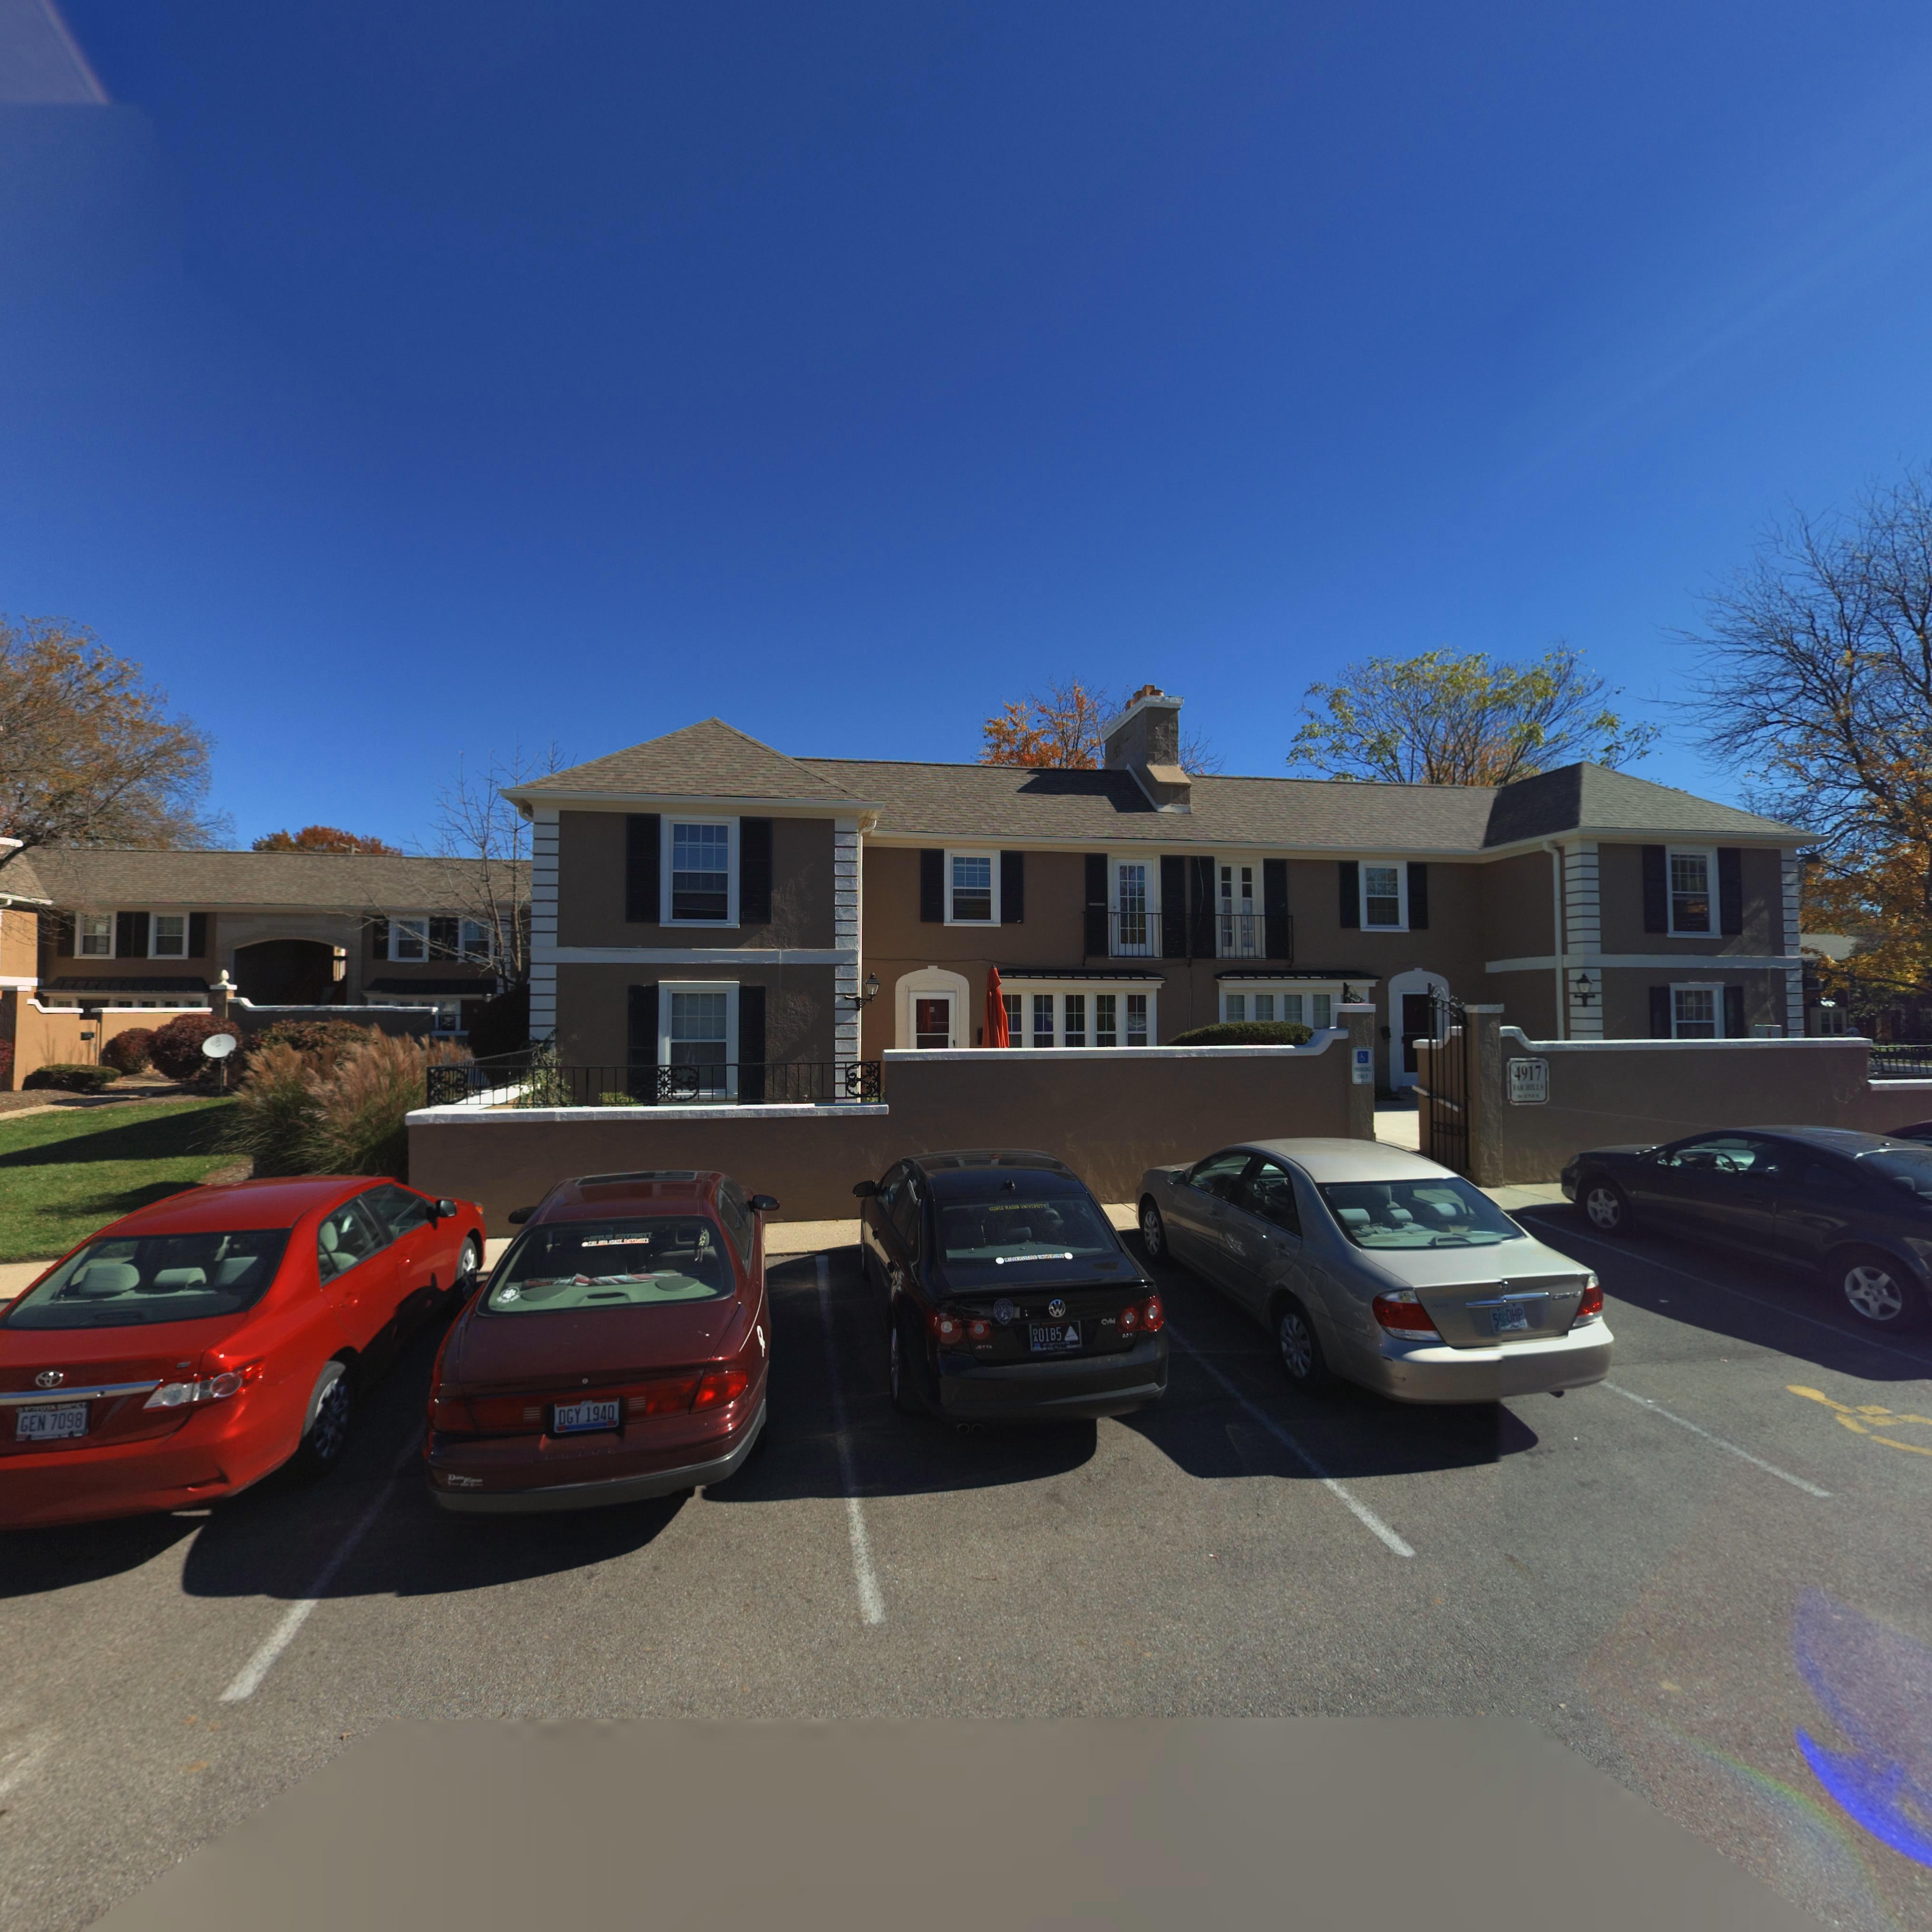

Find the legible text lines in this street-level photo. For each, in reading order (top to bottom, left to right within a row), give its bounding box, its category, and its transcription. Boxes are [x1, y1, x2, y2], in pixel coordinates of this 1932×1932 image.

[1512, 1063, 1543, 1081] StreetNumber: 4917